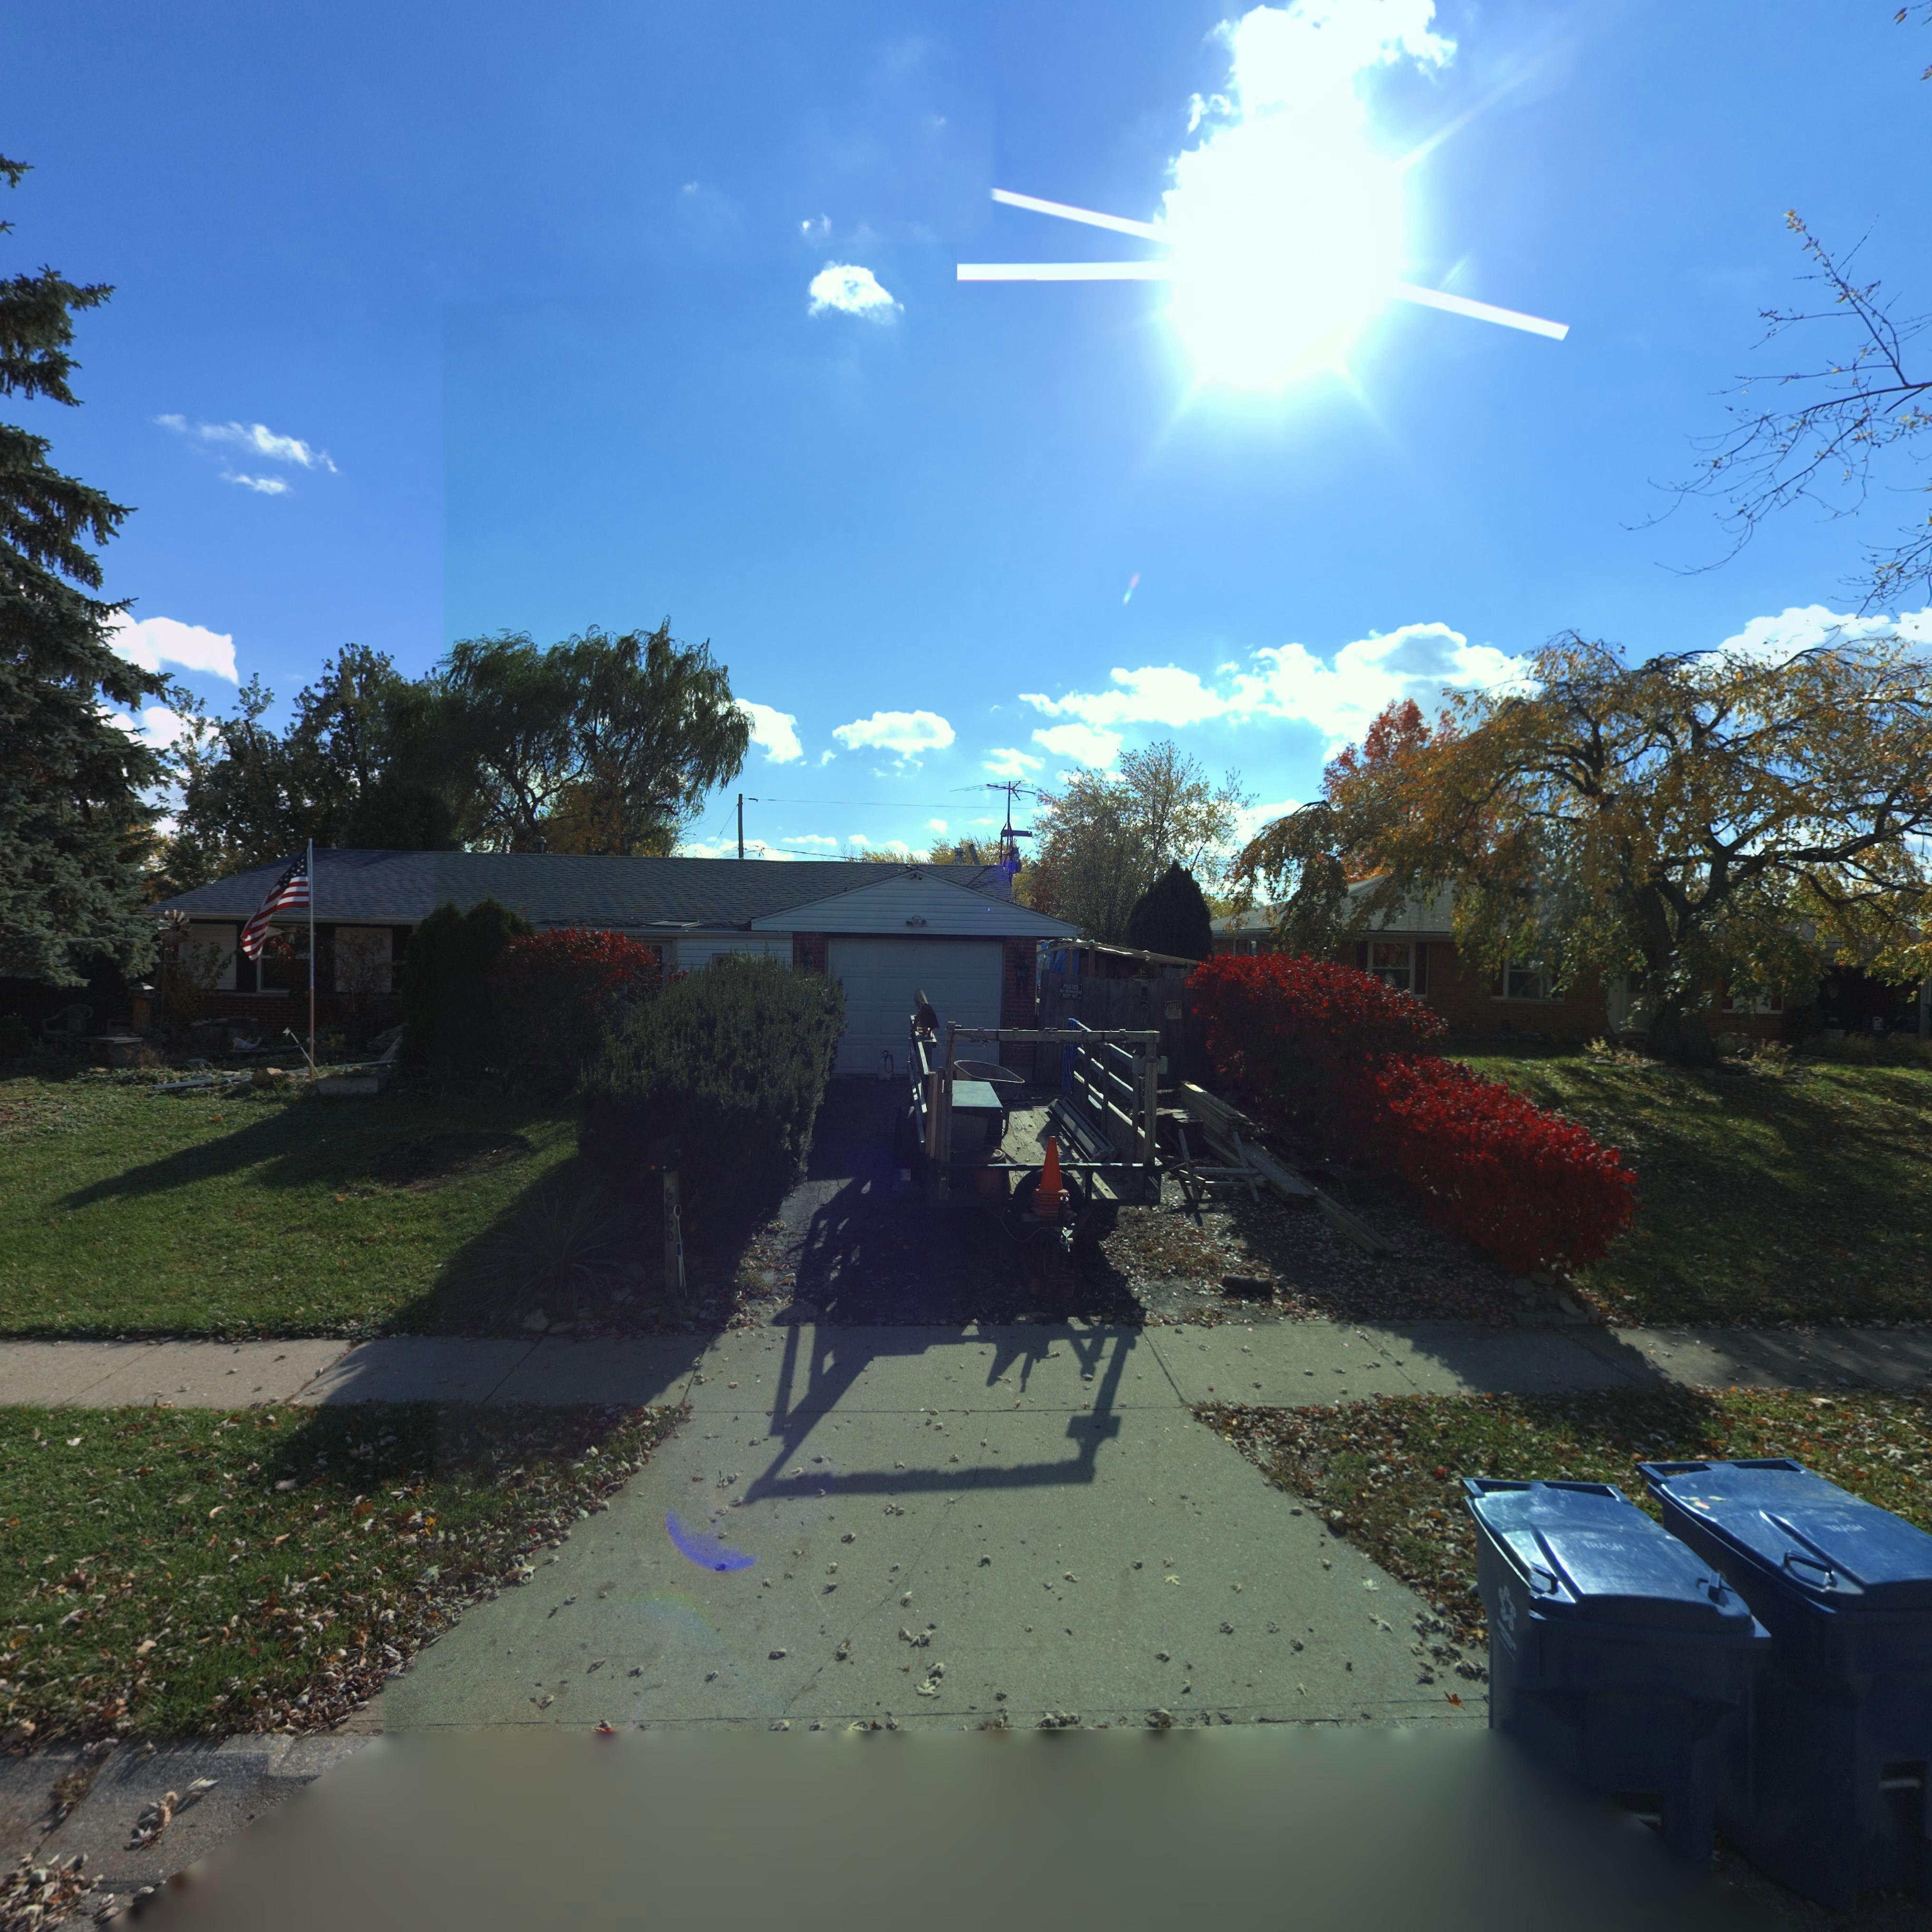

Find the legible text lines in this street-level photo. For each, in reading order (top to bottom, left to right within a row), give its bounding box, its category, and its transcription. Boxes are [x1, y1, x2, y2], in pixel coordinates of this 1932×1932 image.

[664, 1184, 675, 1243] StreetNumber: 6660